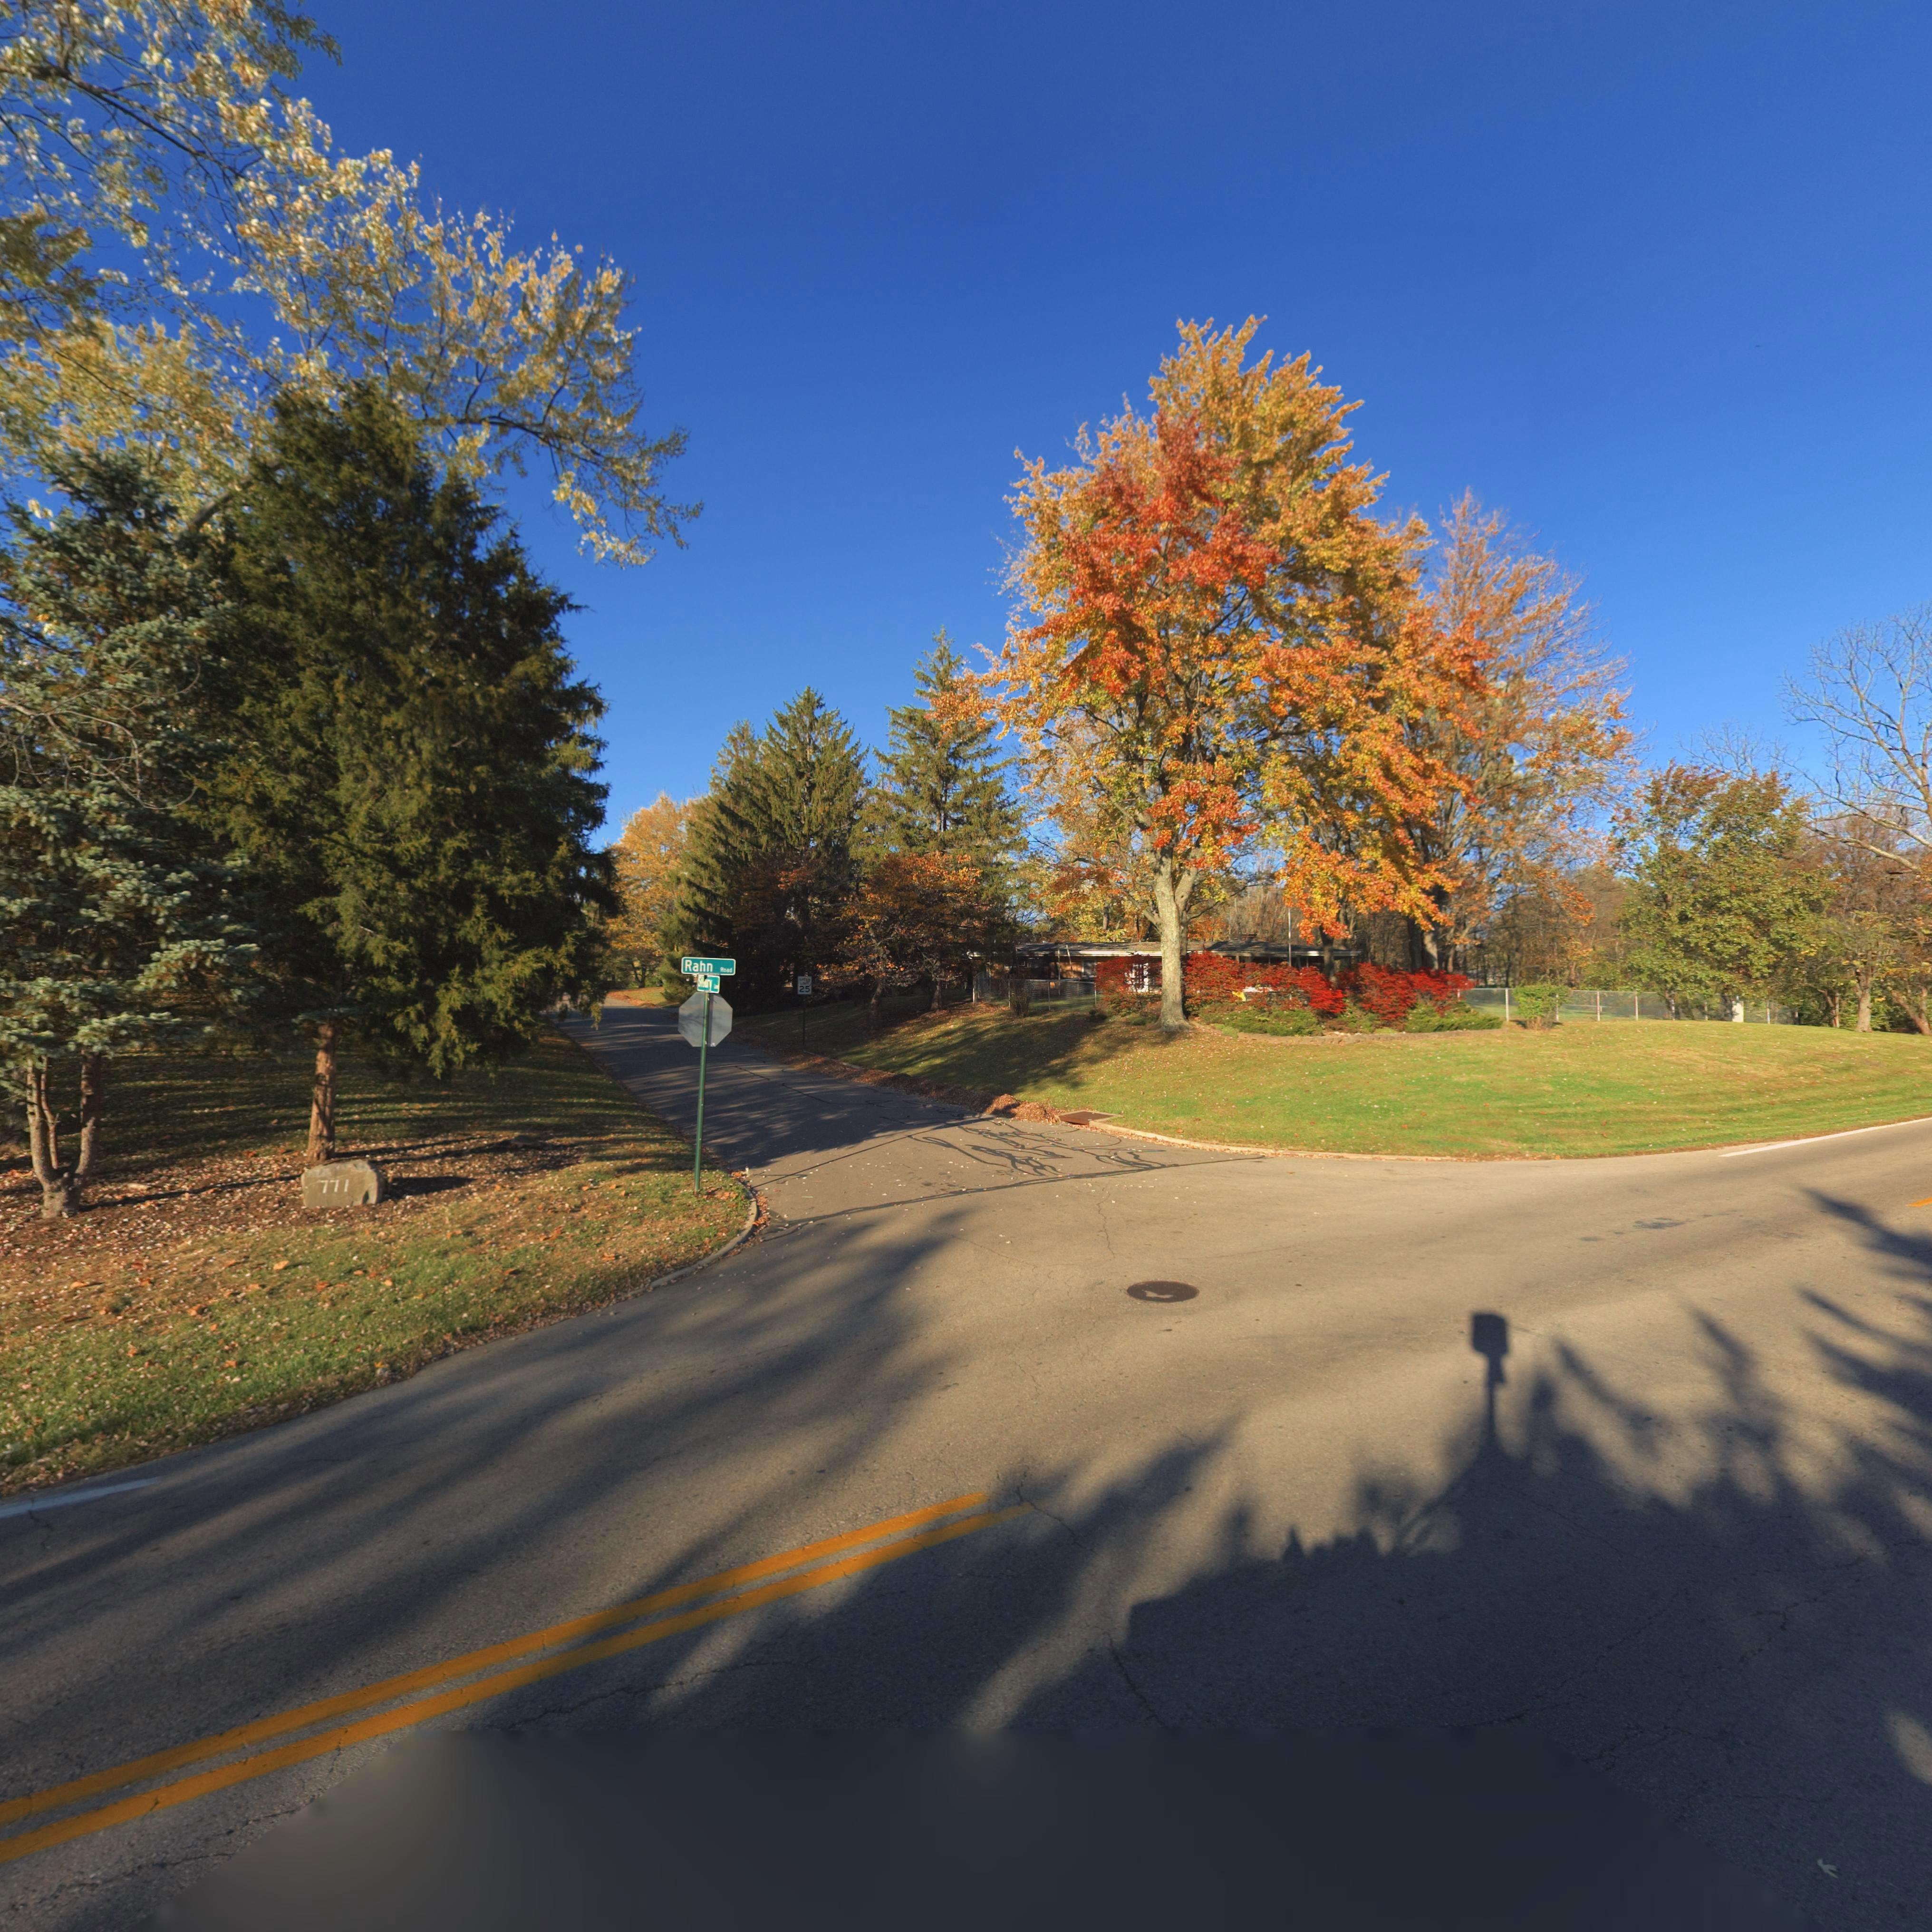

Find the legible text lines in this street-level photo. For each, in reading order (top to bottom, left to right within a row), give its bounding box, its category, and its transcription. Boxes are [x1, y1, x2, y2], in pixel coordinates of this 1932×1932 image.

[684, 959, 733, 973] StreetName: Rahn Road
[697, 976, 713, 992] StreetName: S****ry
[799, 985, 811, 993] StreetNumber: 25
[319, 1178, 350, 1195] StreetNumber: 771